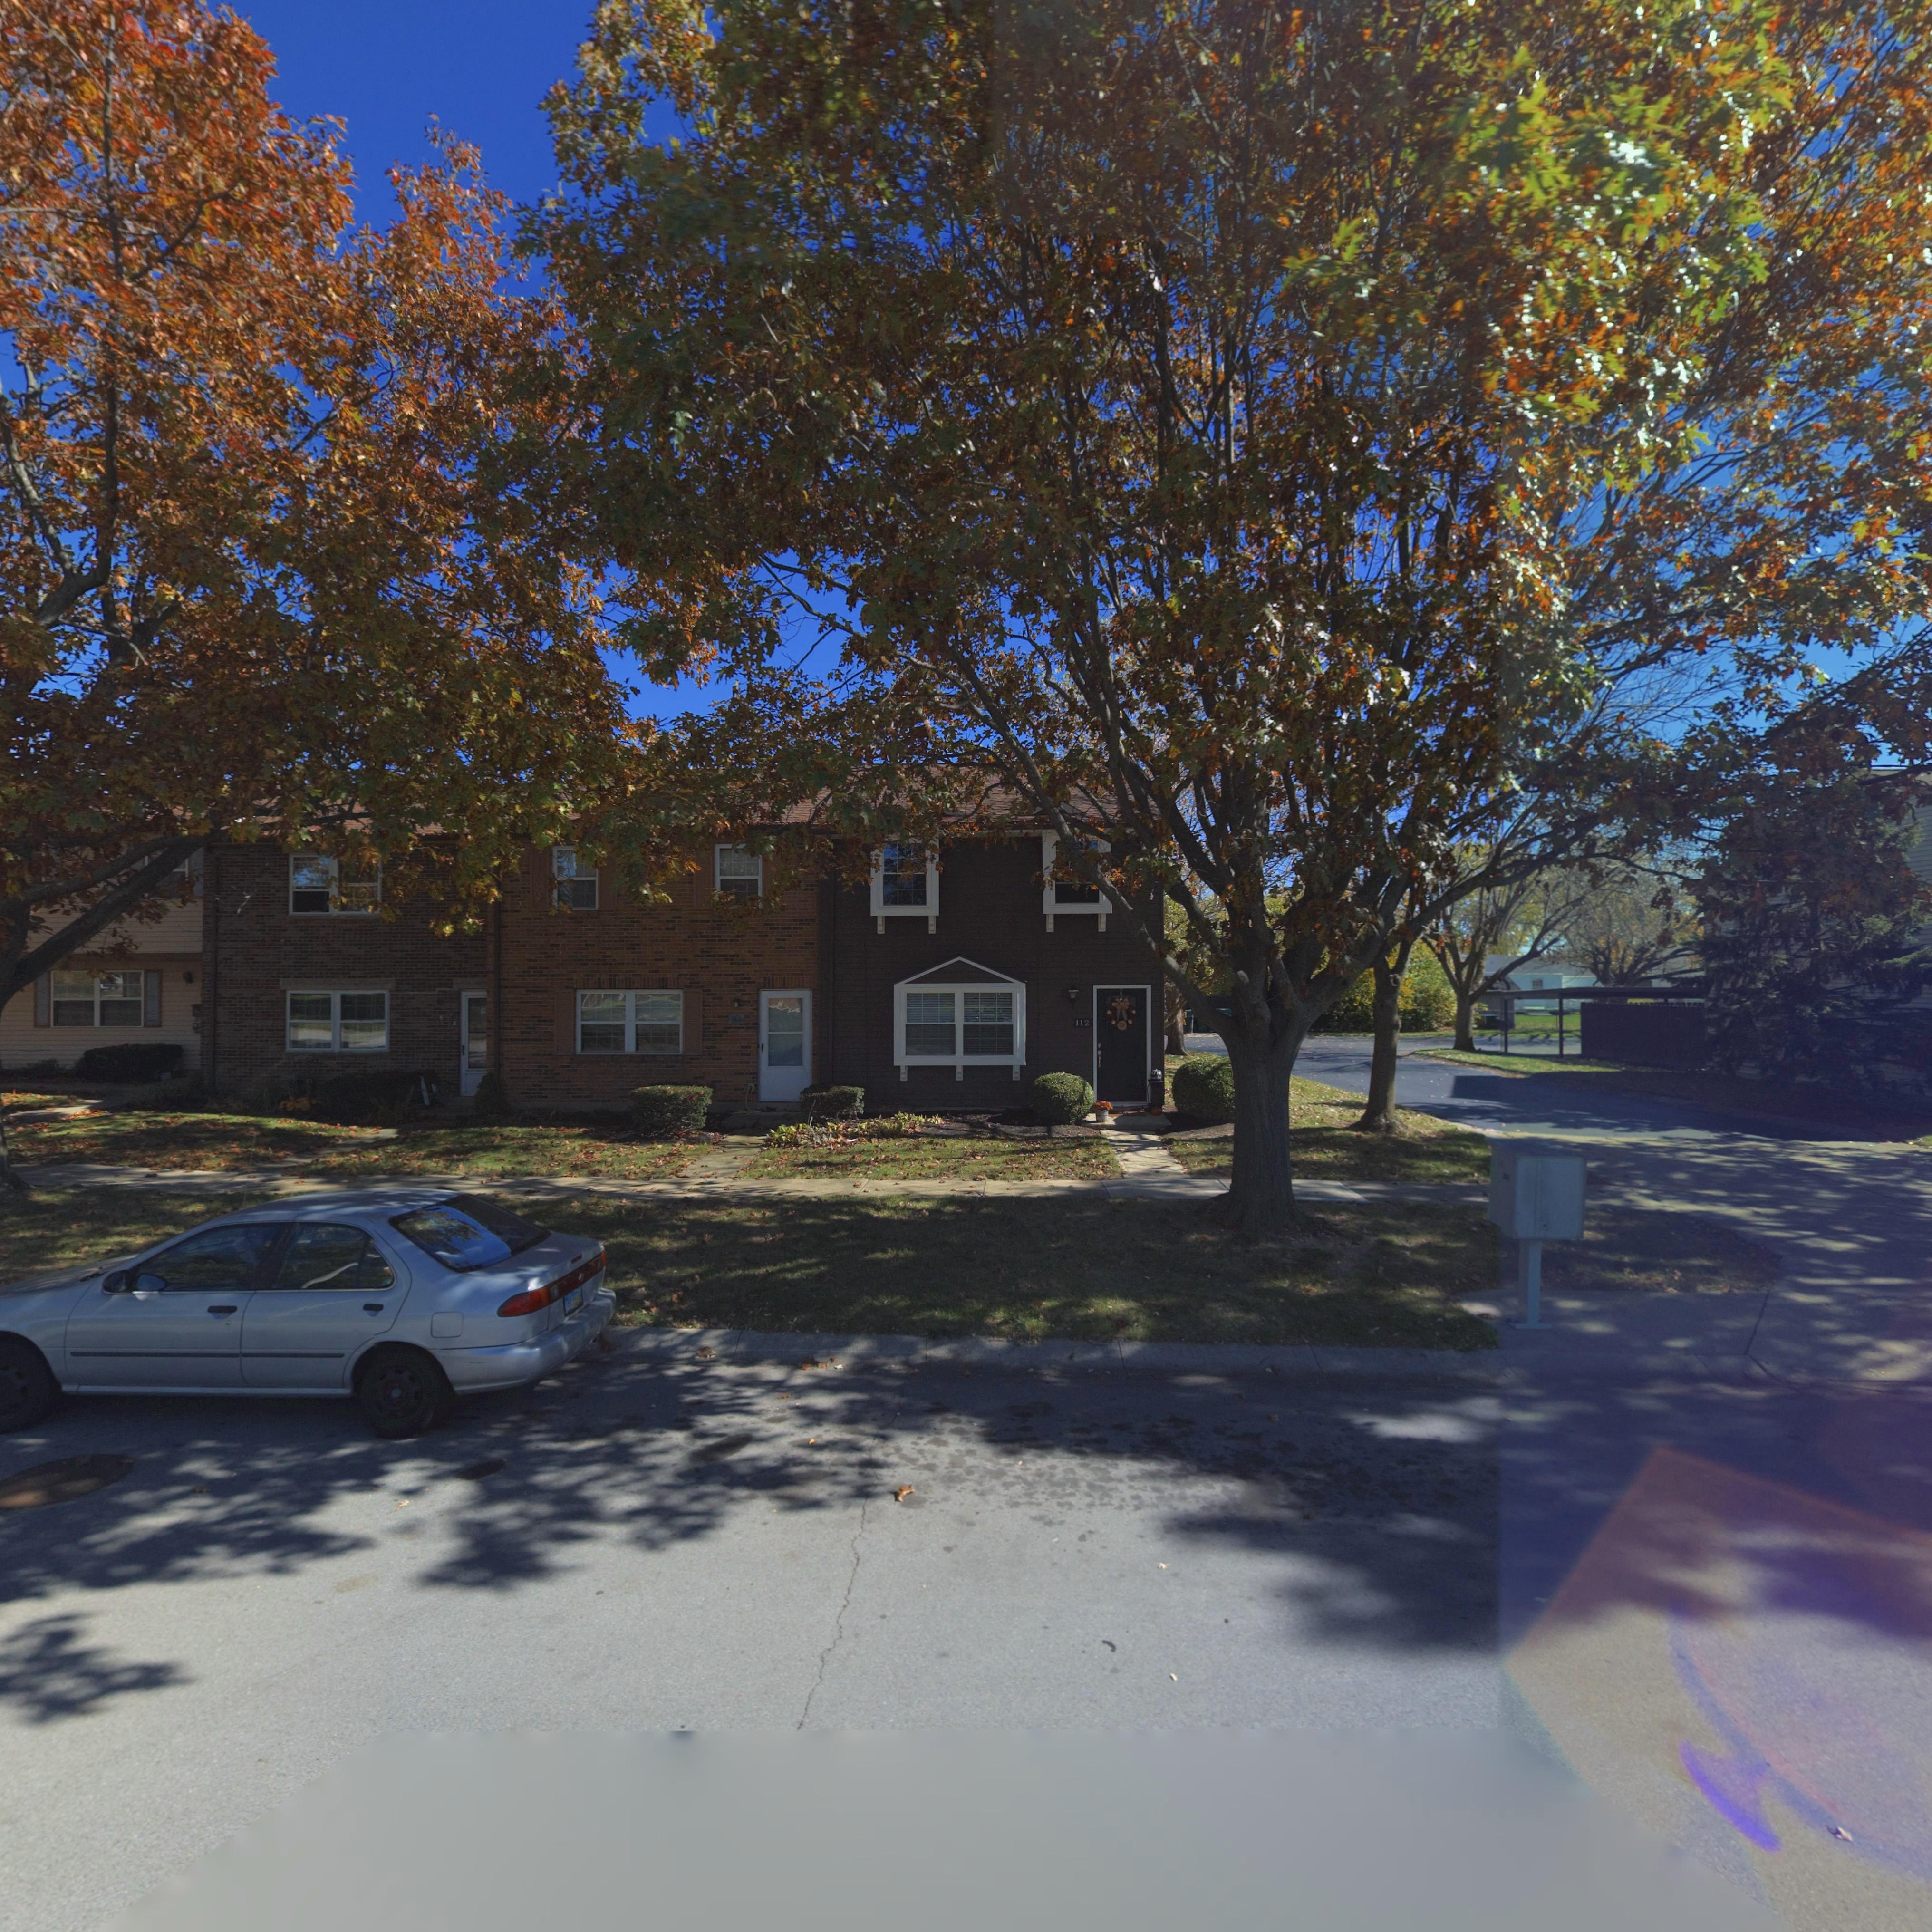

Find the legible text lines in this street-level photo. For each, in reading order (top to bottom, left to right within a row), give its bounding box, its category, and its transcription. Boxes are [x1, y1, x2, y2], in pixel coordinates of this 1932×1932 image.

[1075, 1018, 1090, 1027] StreetNumber: 112